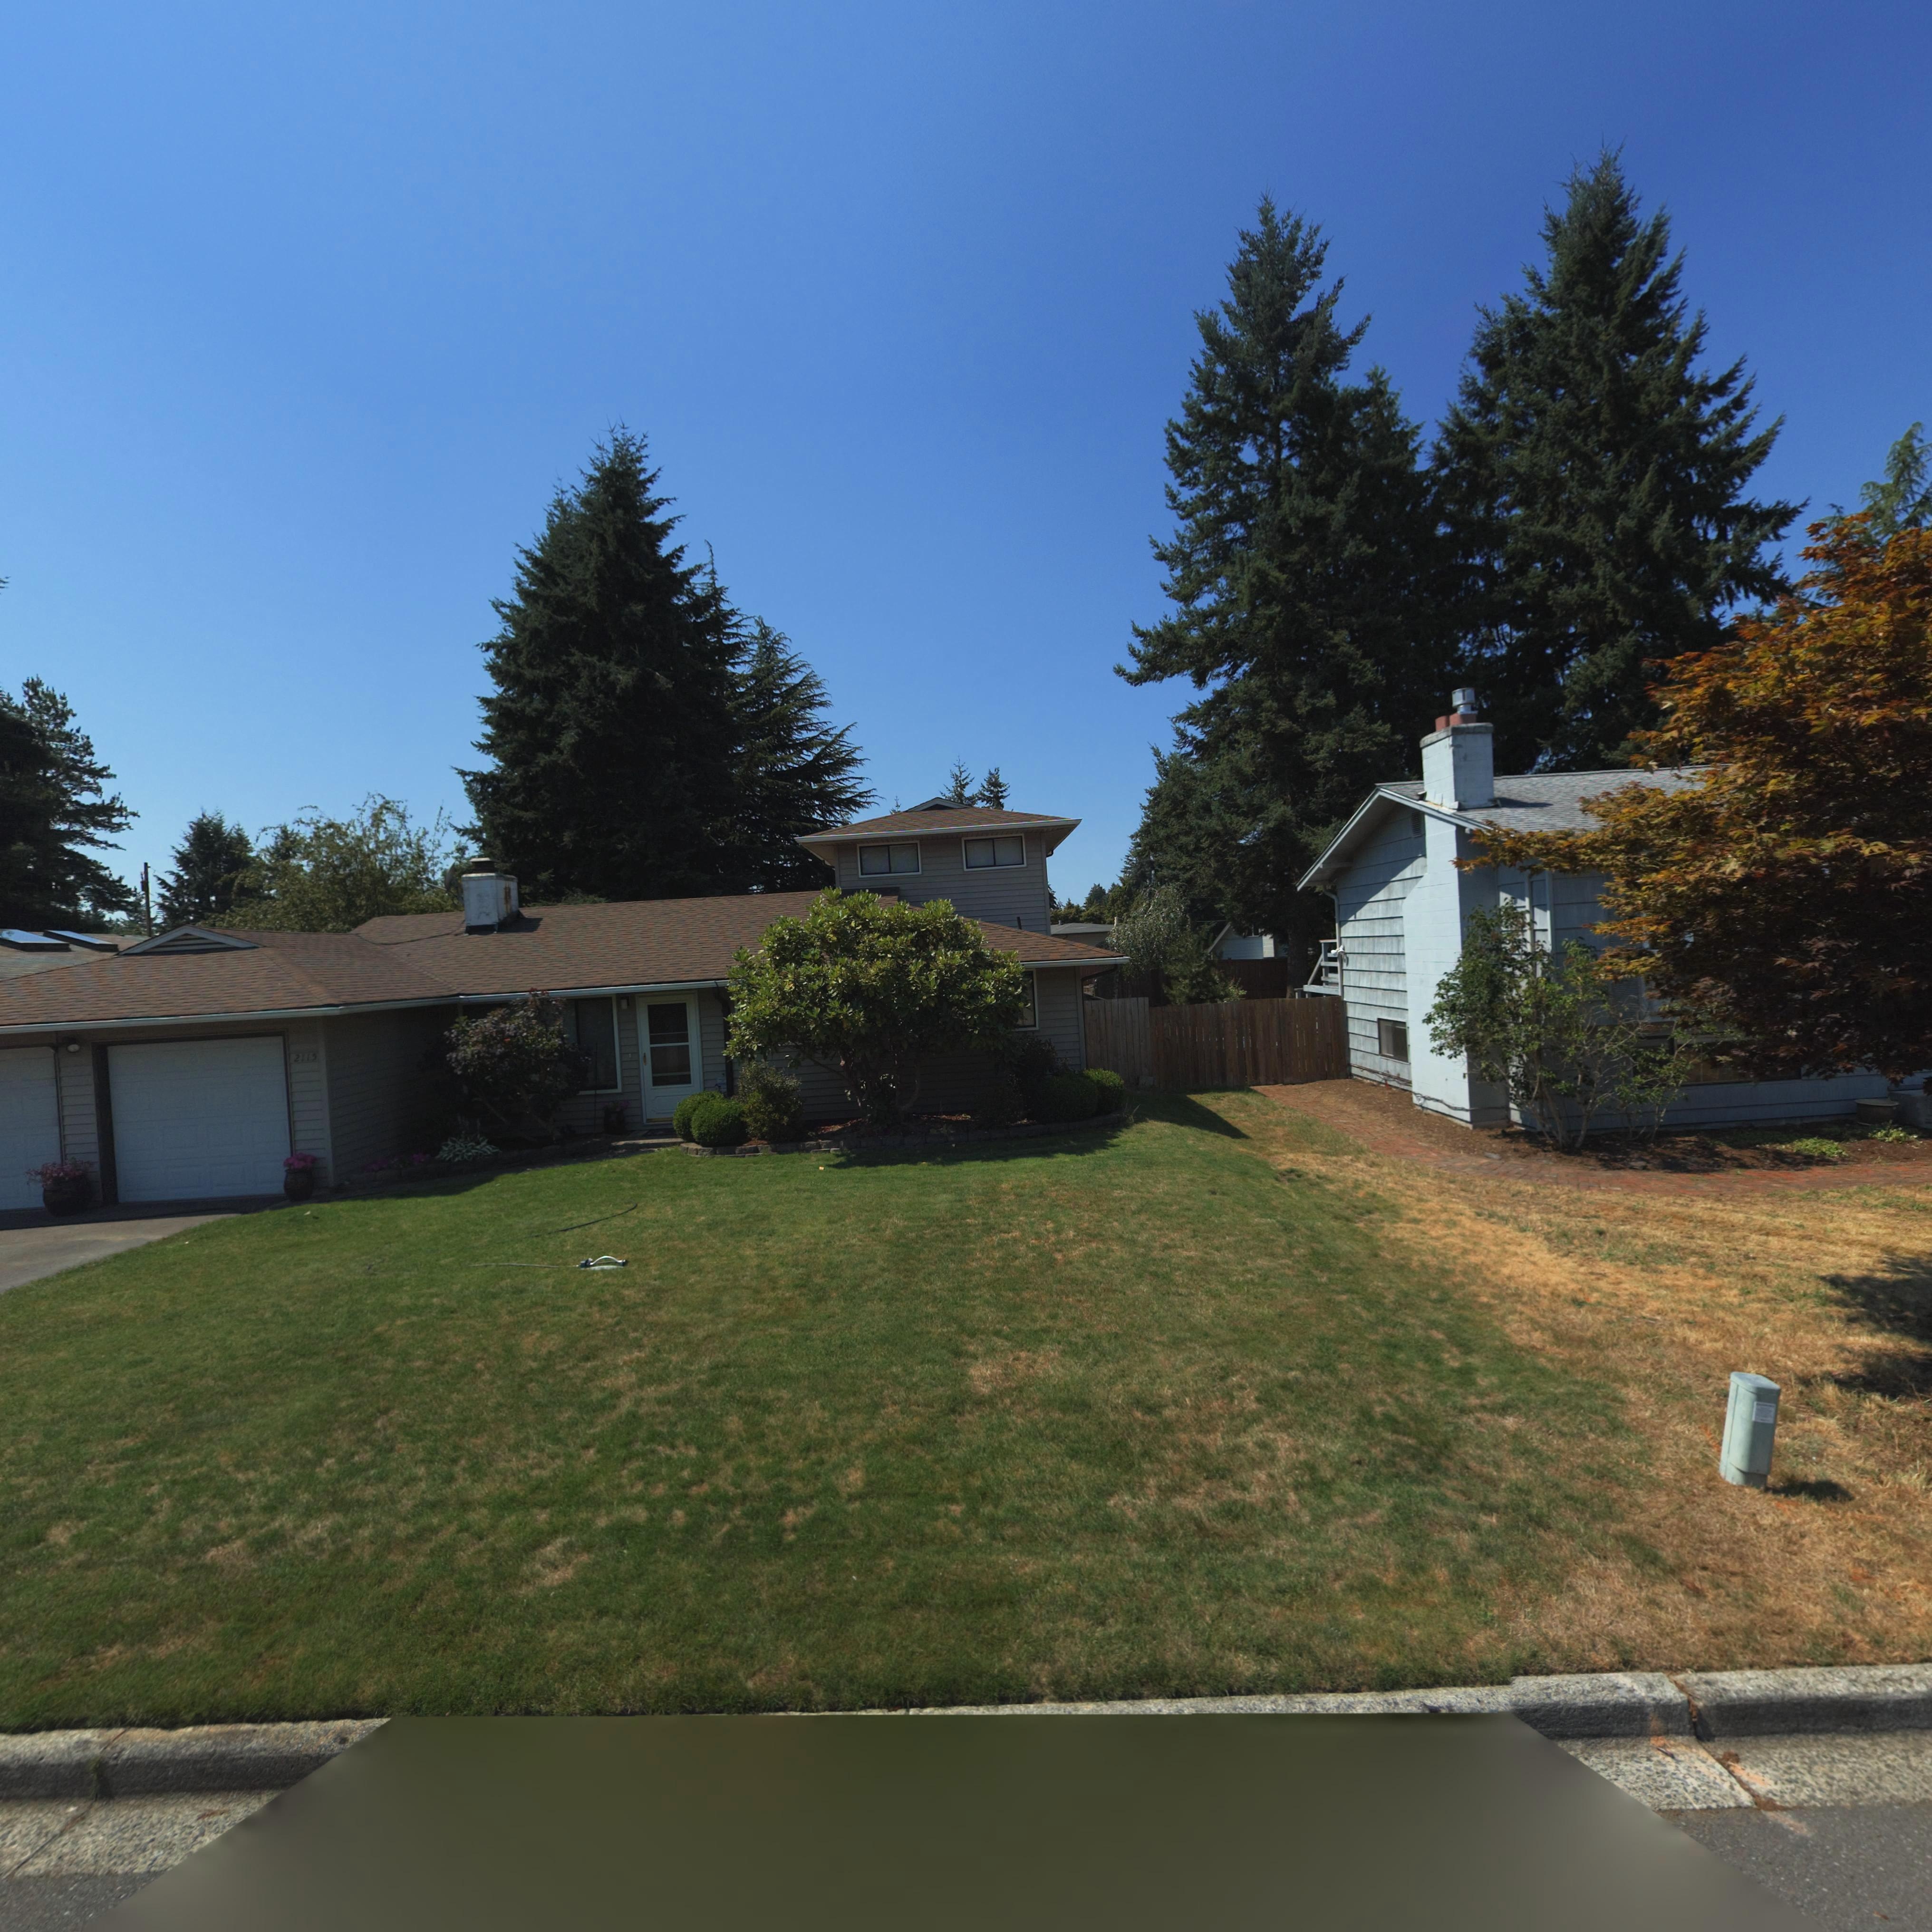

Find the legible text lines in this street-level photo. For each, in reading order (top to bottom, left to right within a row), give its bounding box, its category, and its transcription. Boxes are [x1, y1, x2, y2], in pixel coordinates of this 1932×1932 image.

[289, 1051, 320, 1063] StreetNumber: 2115